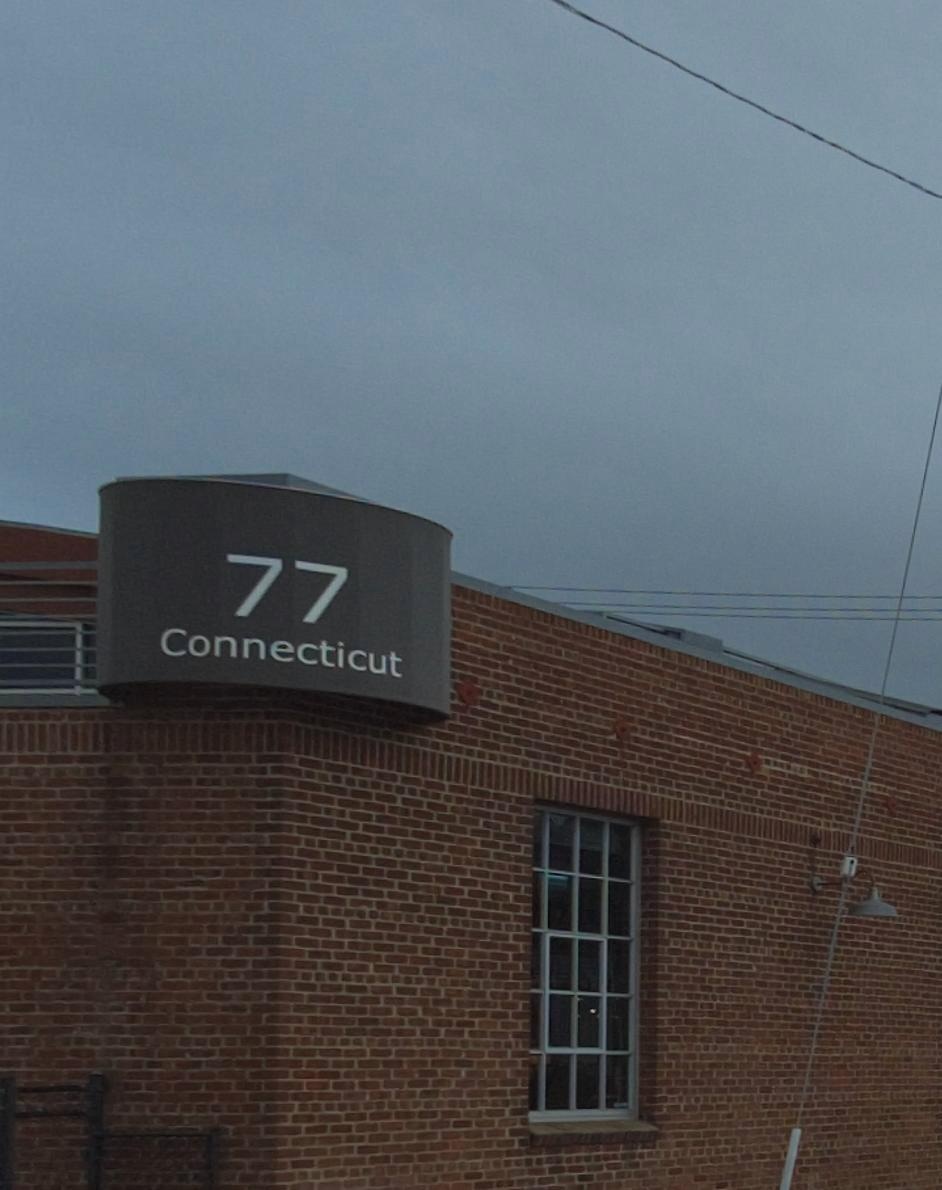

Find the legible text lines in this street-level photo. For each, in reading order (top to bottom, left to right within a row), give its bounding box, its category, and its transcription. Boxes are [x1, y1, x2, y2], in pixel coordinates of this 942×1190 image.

[224, 551, 353, 625] StreetNumber: 77
[158, 626, 405, 679] StreetName: Connecticut